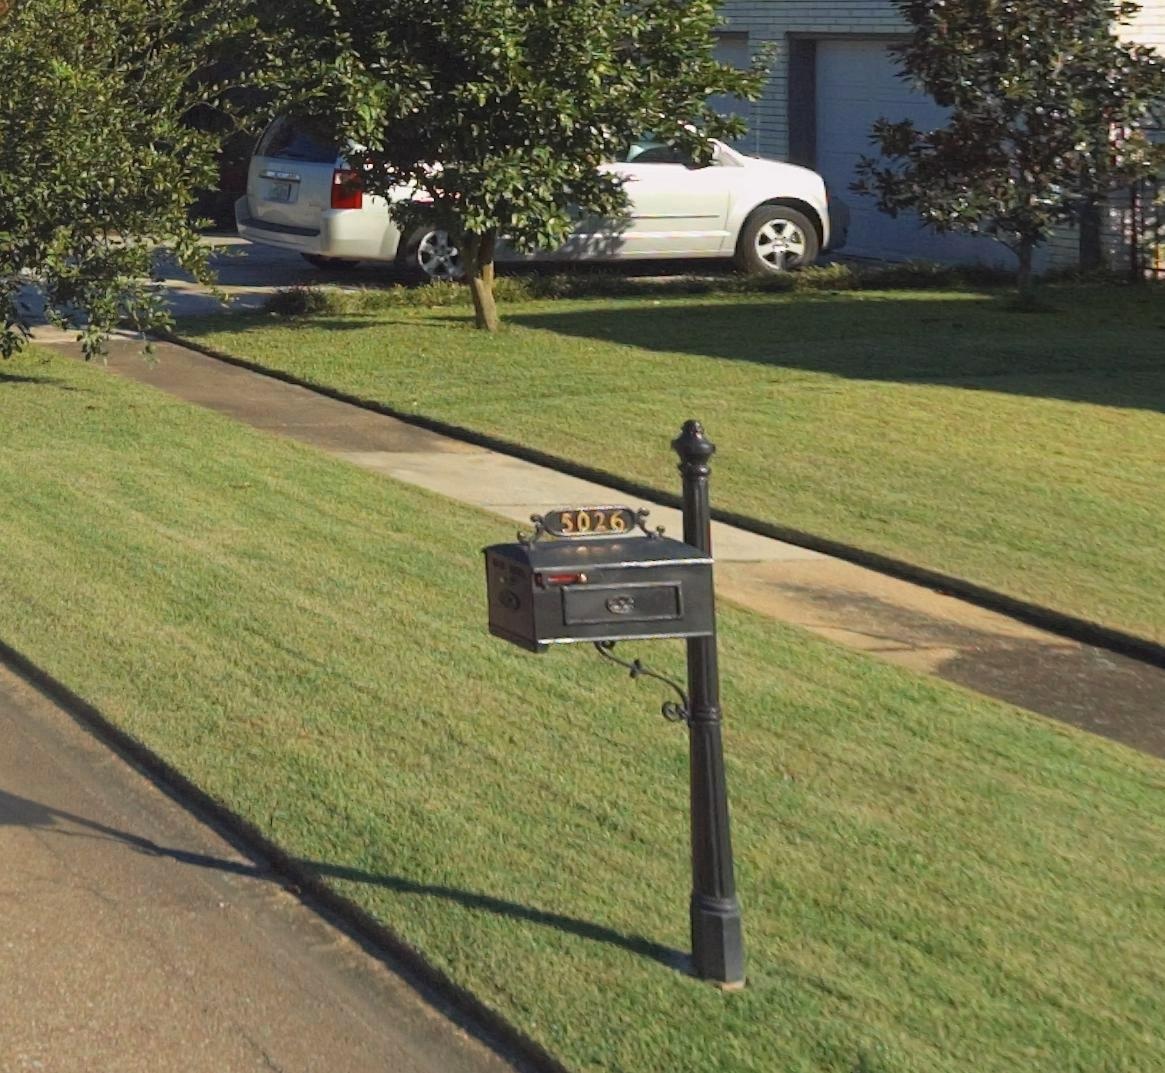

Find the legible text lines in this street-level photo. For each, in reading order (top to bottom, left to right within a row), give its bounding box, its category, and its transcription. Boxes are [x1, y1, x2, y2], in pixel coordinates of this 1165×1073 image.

[559, 508, 627, 536] StreetNumber: 5026